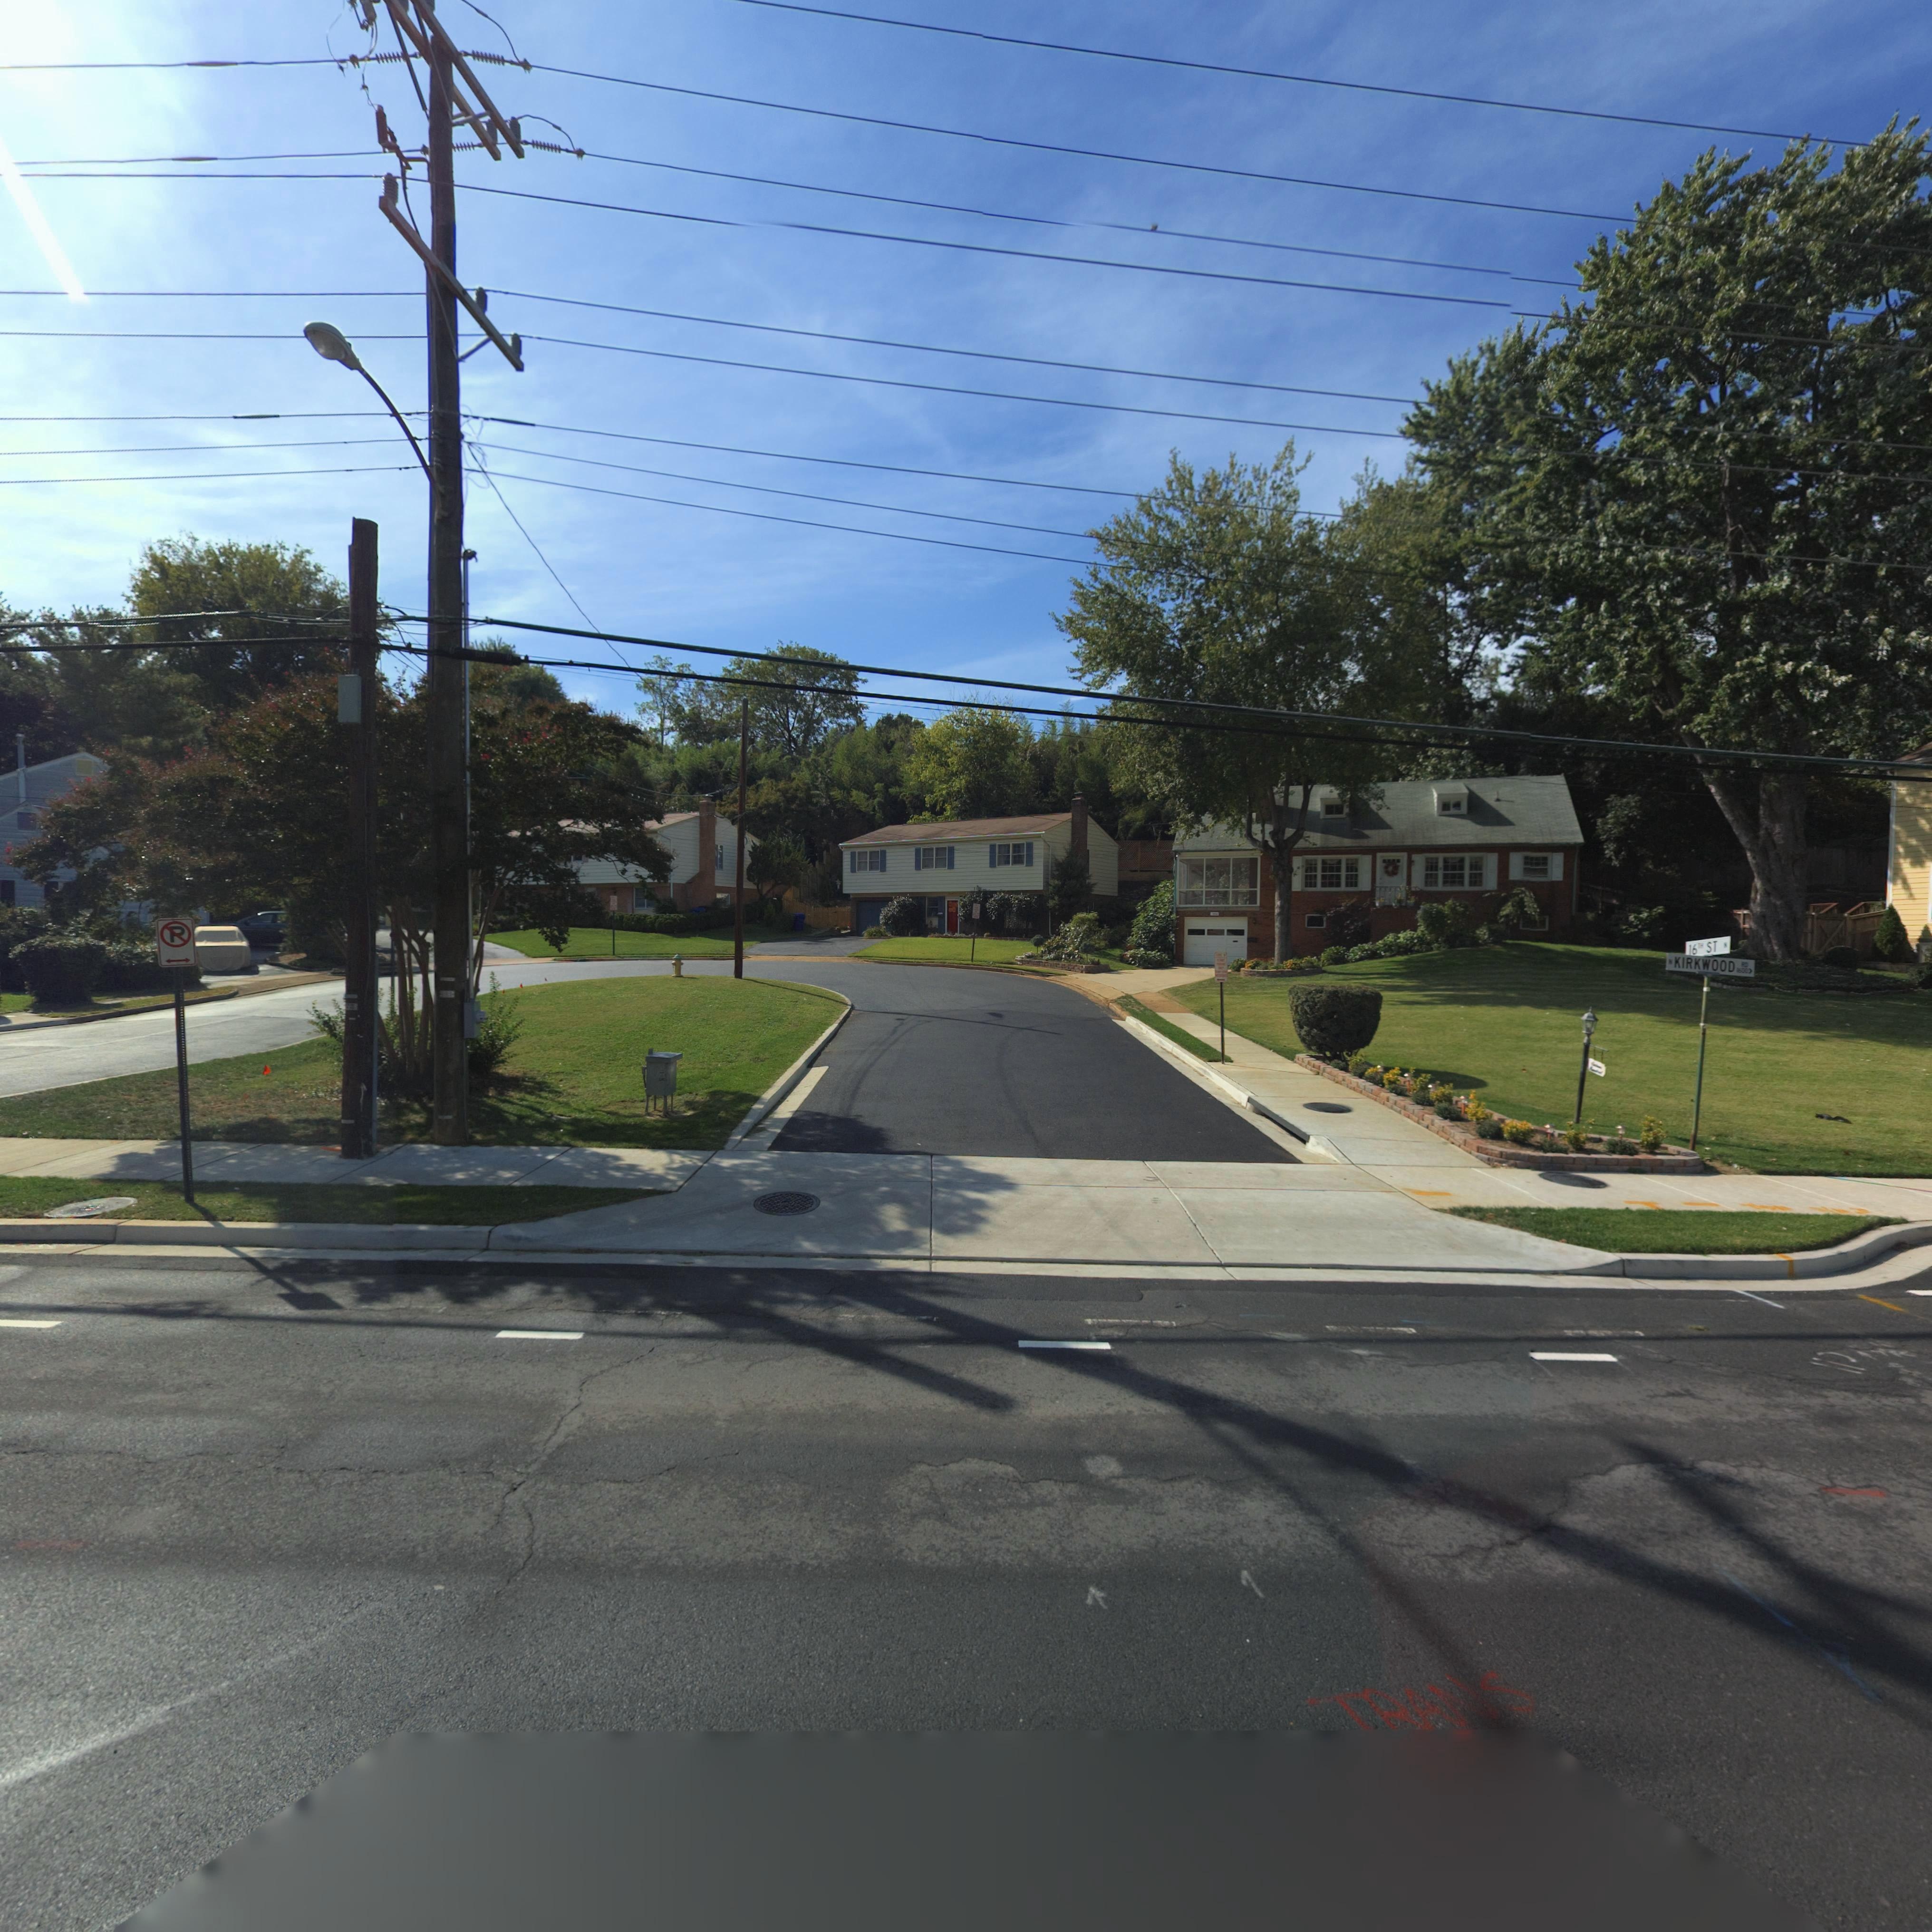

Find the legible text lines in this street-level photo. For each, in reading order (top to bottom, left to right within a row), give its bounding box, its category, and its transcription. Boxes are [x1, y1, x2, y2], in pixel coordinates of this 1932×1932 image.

[1688, 938, 1719, 956] StreetName: 16TH ST
[1672, 955, 1749, 974] StreetName: KIRKWOOF RD
[1735, 966, 1754, 975] StreetNumberRange: 1*00->